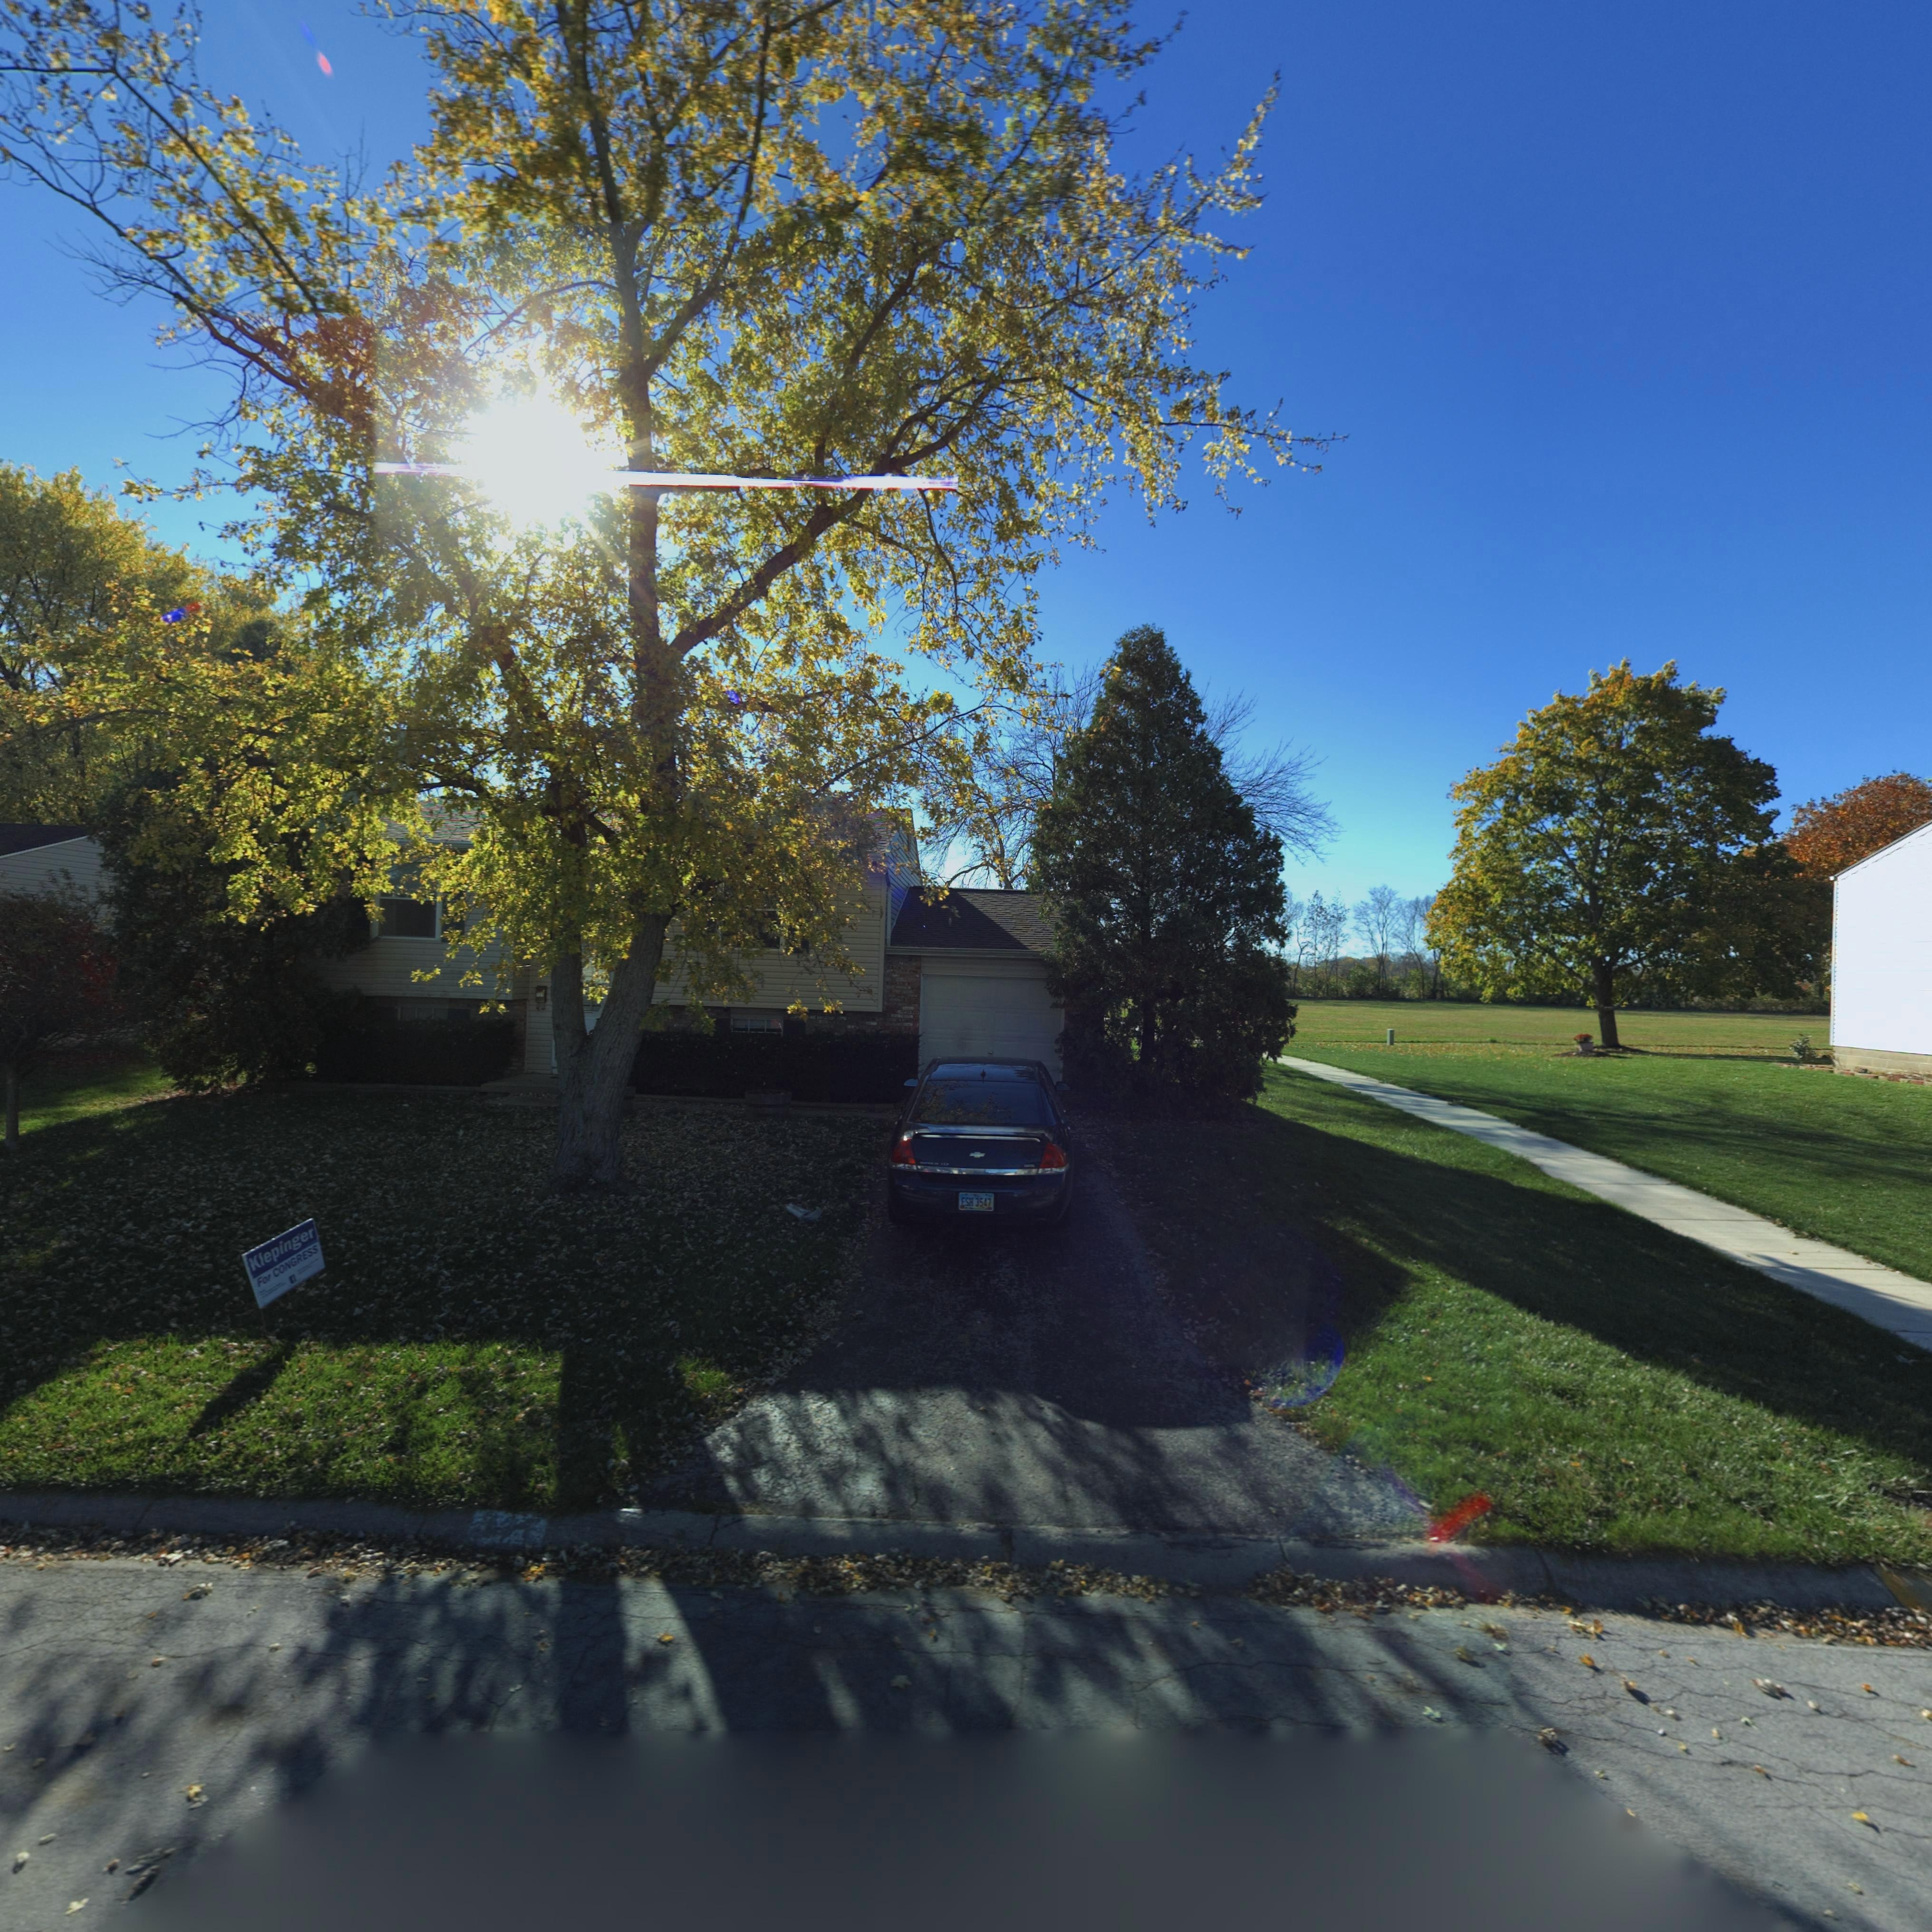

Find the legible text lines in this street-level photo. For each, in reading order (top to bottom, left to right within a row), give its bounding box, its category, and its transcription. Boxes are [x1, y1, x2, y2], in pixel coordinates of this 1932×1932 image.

[536, 993, 544, 997] StreetNumber: 12*